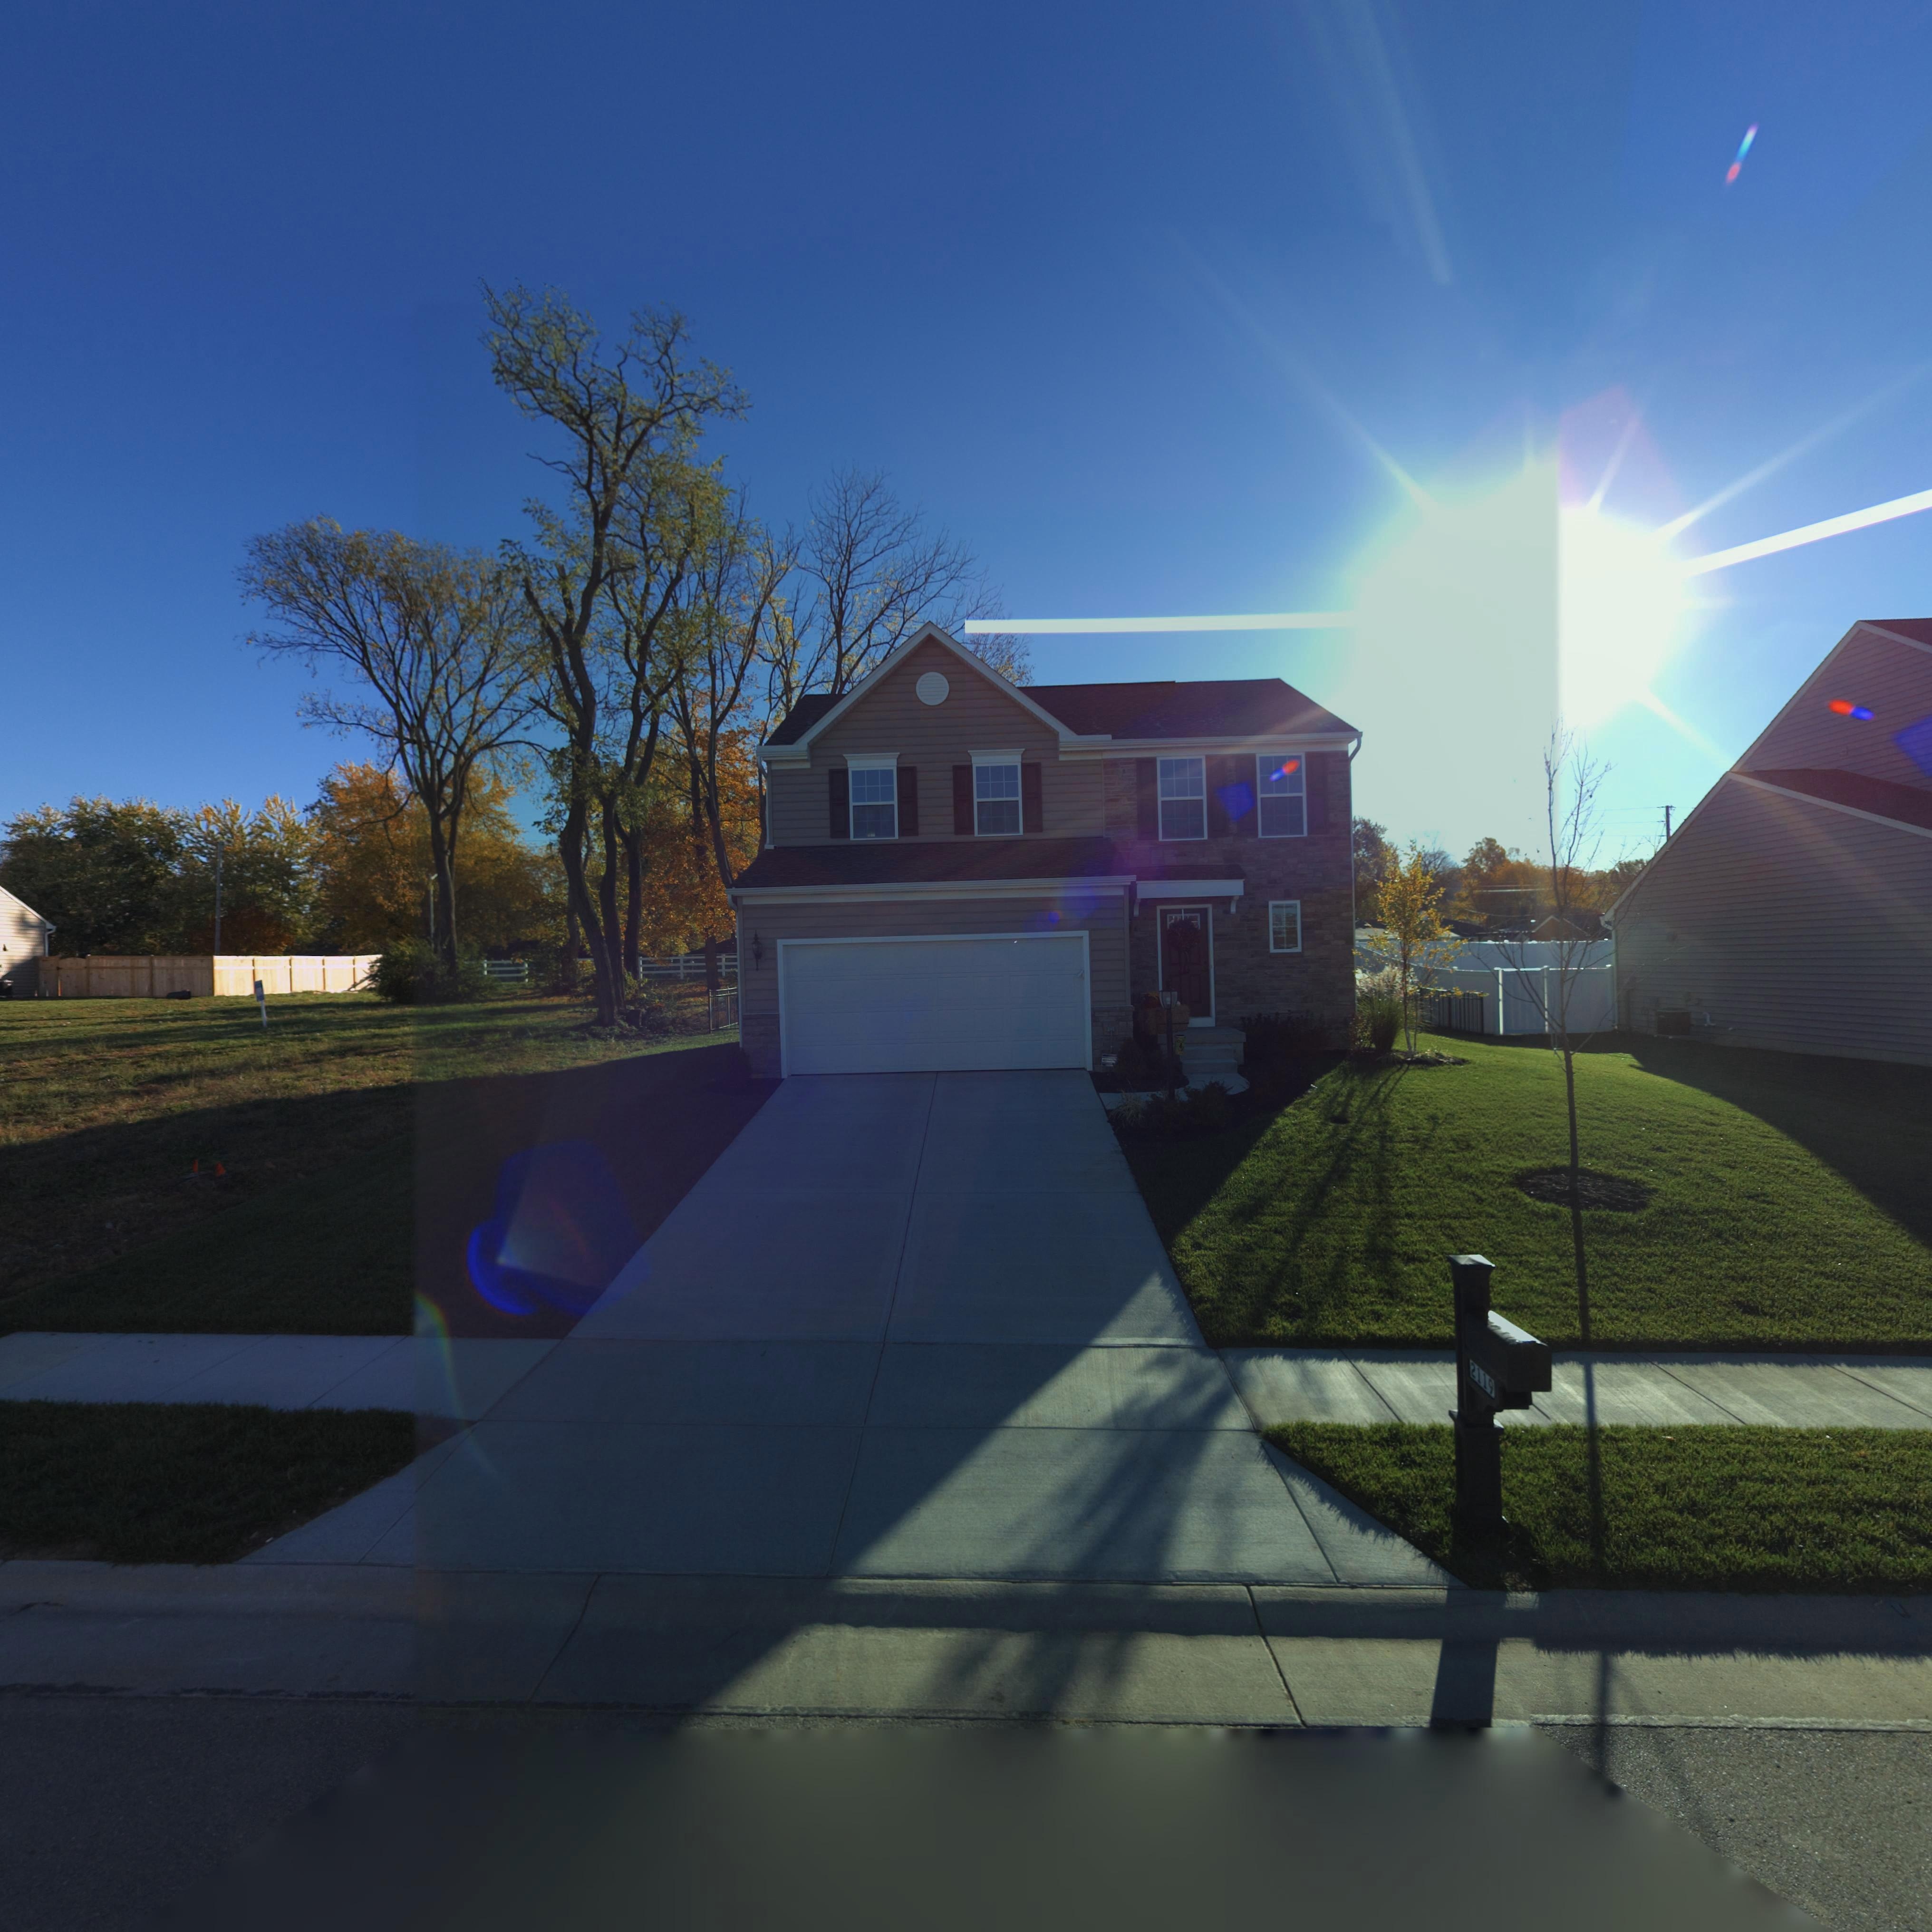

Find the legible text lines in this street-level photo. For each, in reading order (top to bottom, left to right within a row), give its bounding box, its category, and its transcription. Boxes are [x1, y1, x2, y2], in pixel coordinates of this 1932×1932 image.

[1469, 1359, 1495, 1395] StreetNumber: 2119